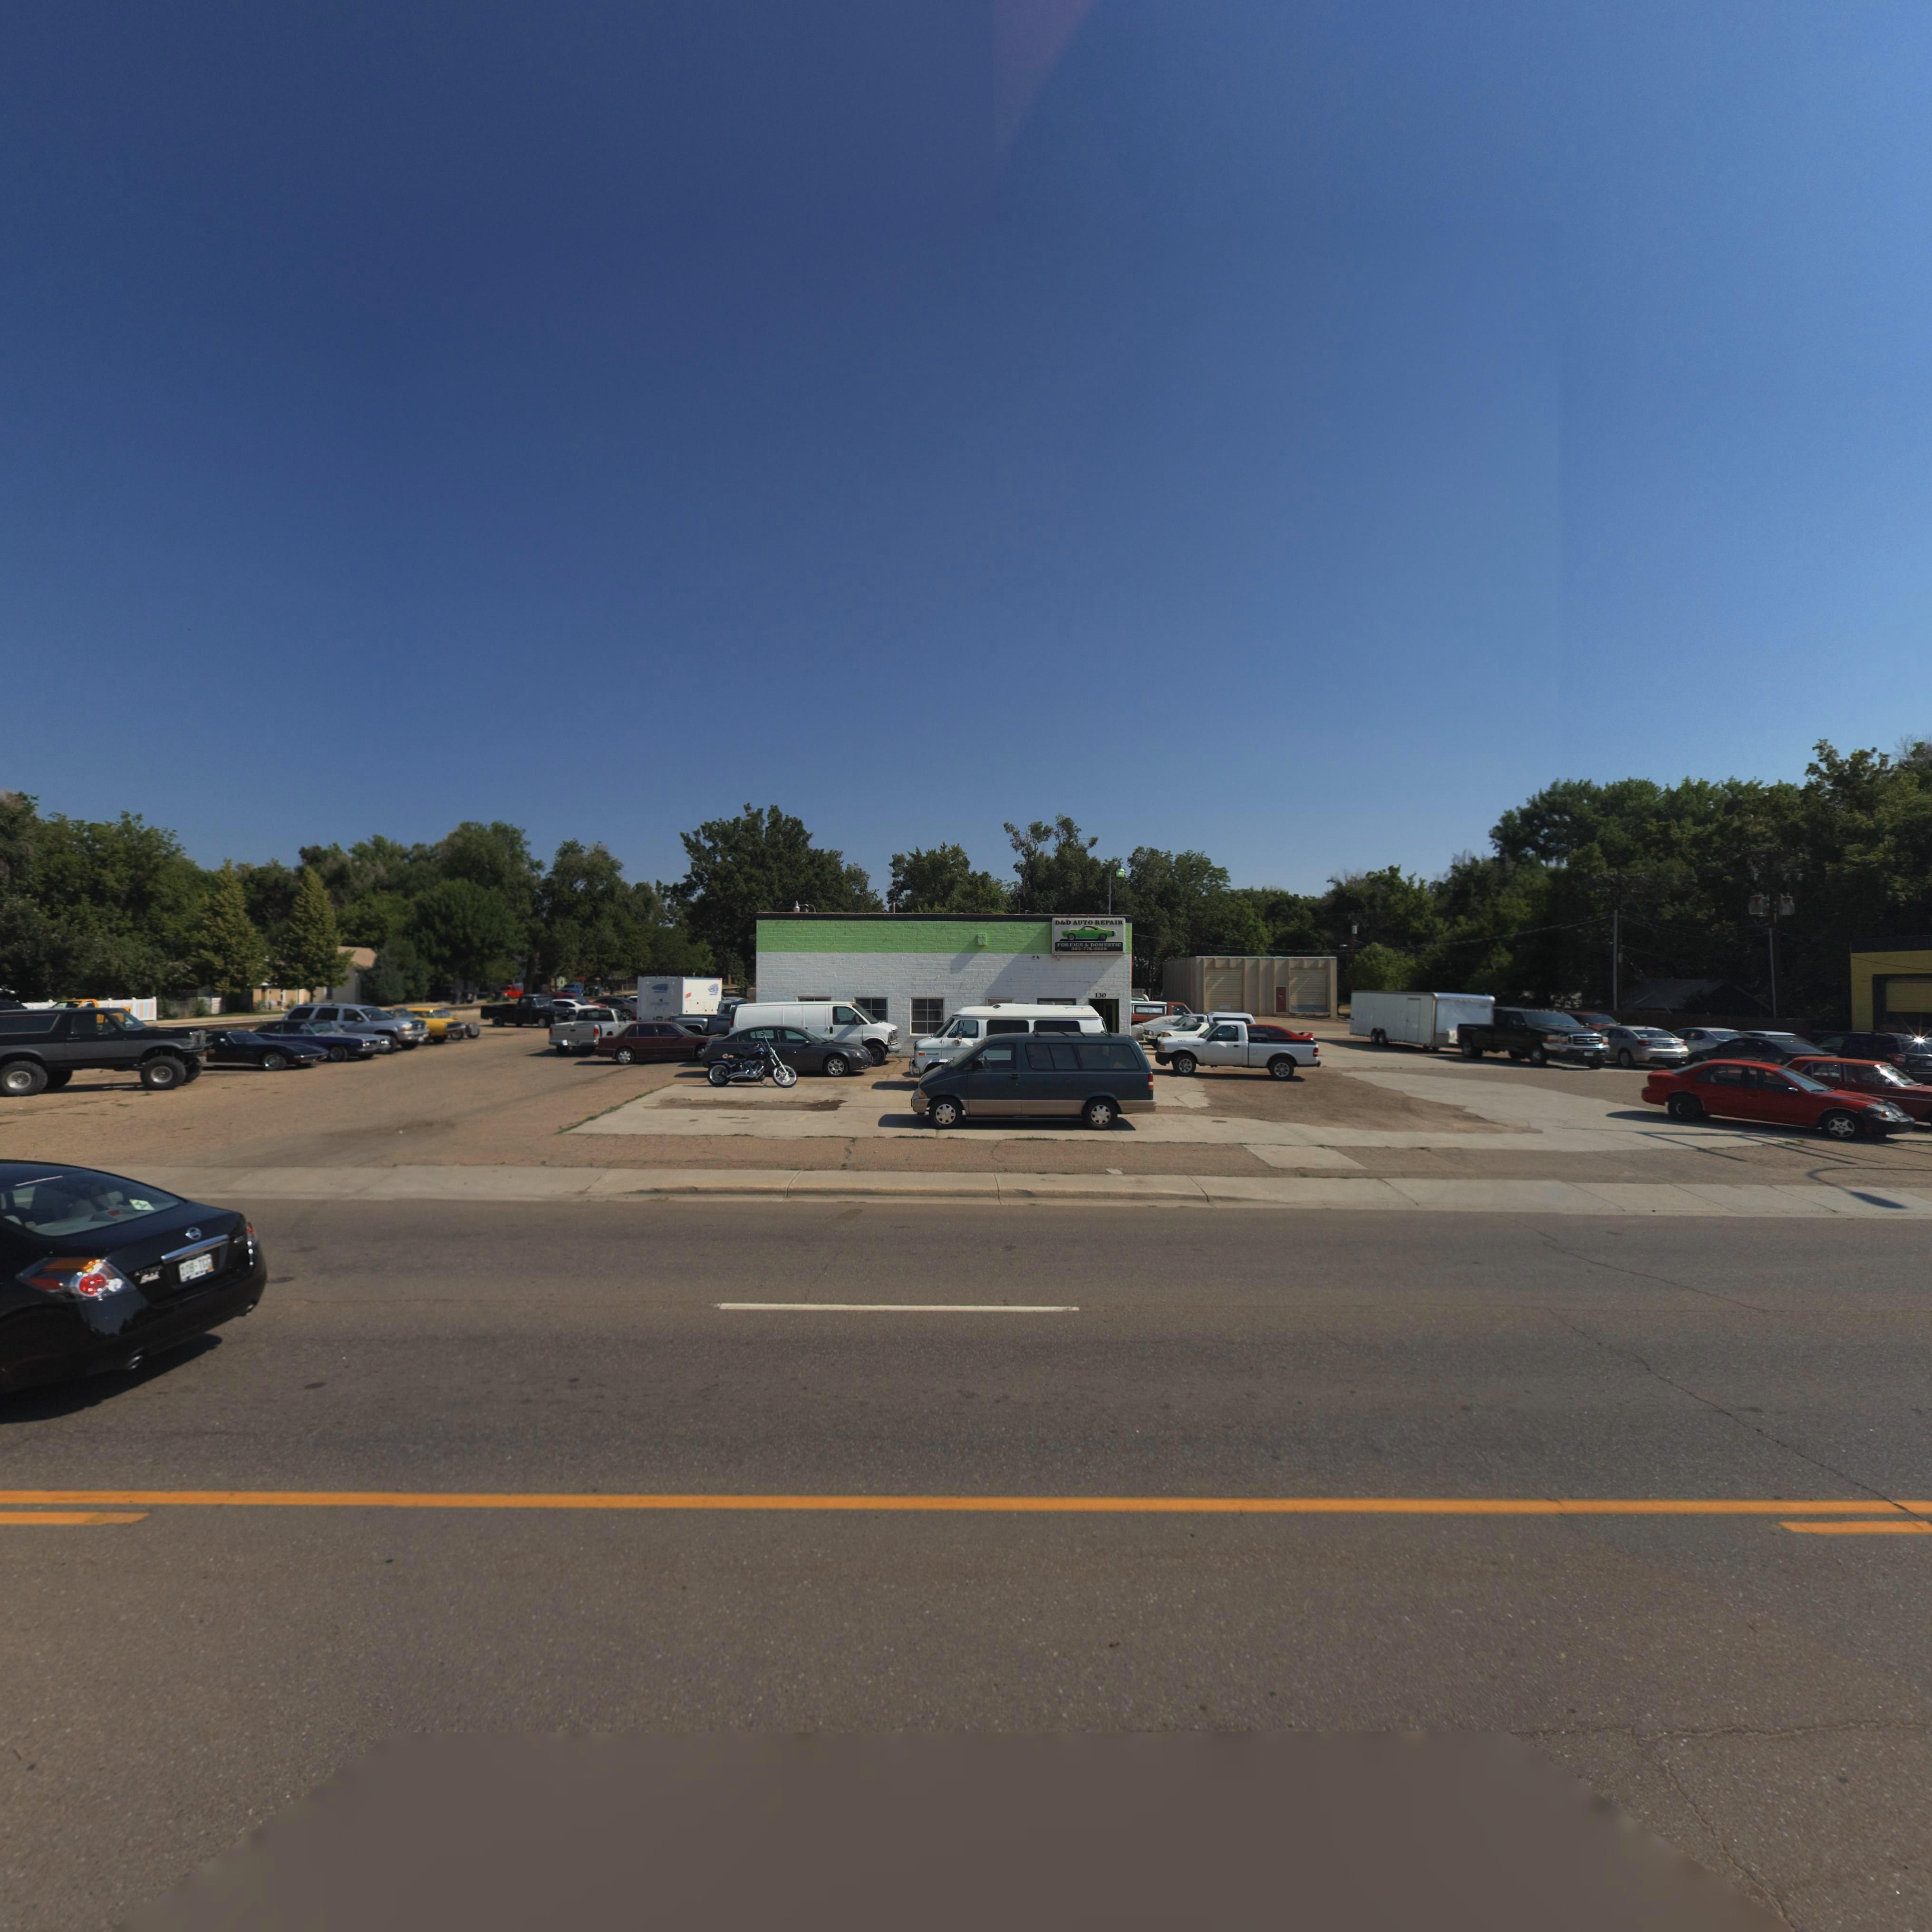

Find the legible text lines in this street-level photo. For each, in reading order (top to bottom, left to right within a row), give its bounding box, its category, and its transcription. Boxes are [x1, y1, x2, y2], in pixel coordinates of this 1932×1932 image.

[1054, 919, 1124, 925] BusinessName: D&D AUTO REPAIR
[1095, 992, 1106, 998] StreetNumber: 130
[139, 1270, 161, 1284] None: x